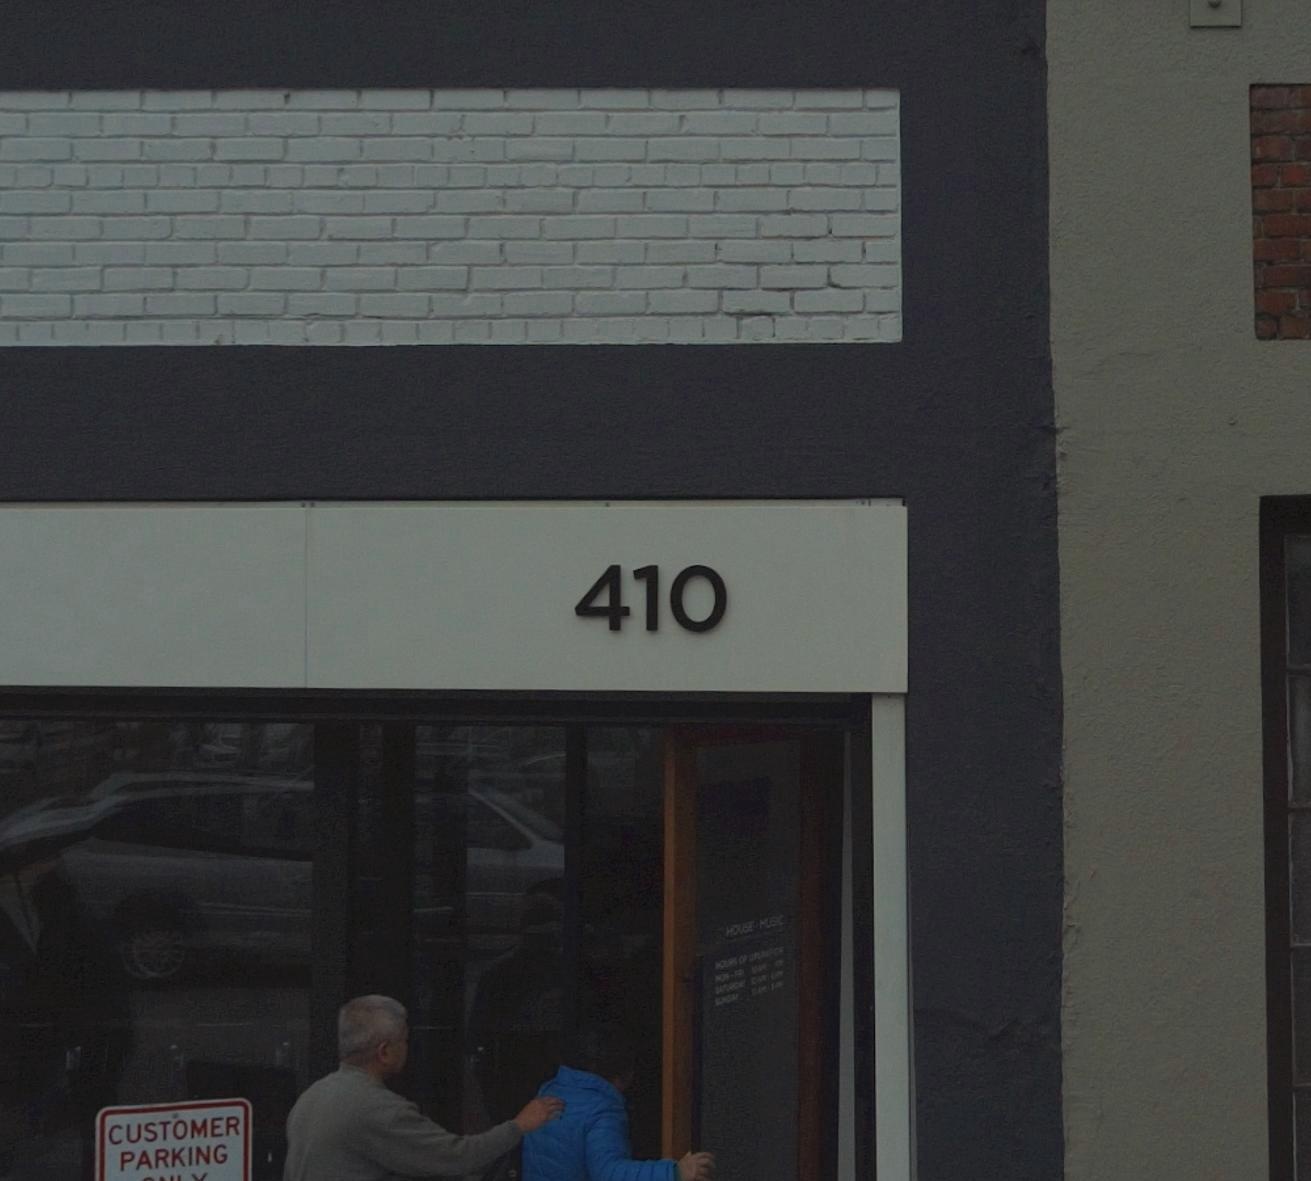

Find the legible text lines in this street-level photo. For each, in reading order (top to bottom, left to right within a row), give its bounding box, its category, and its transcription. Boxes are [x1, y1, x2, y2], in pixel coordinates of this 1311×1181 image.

[571, 561, 729, 636] StreetNumber: 410
[105, 1112, 243, 1148] None: CUSTOMER
[115, 1139, 232, 1176] None: PARKING